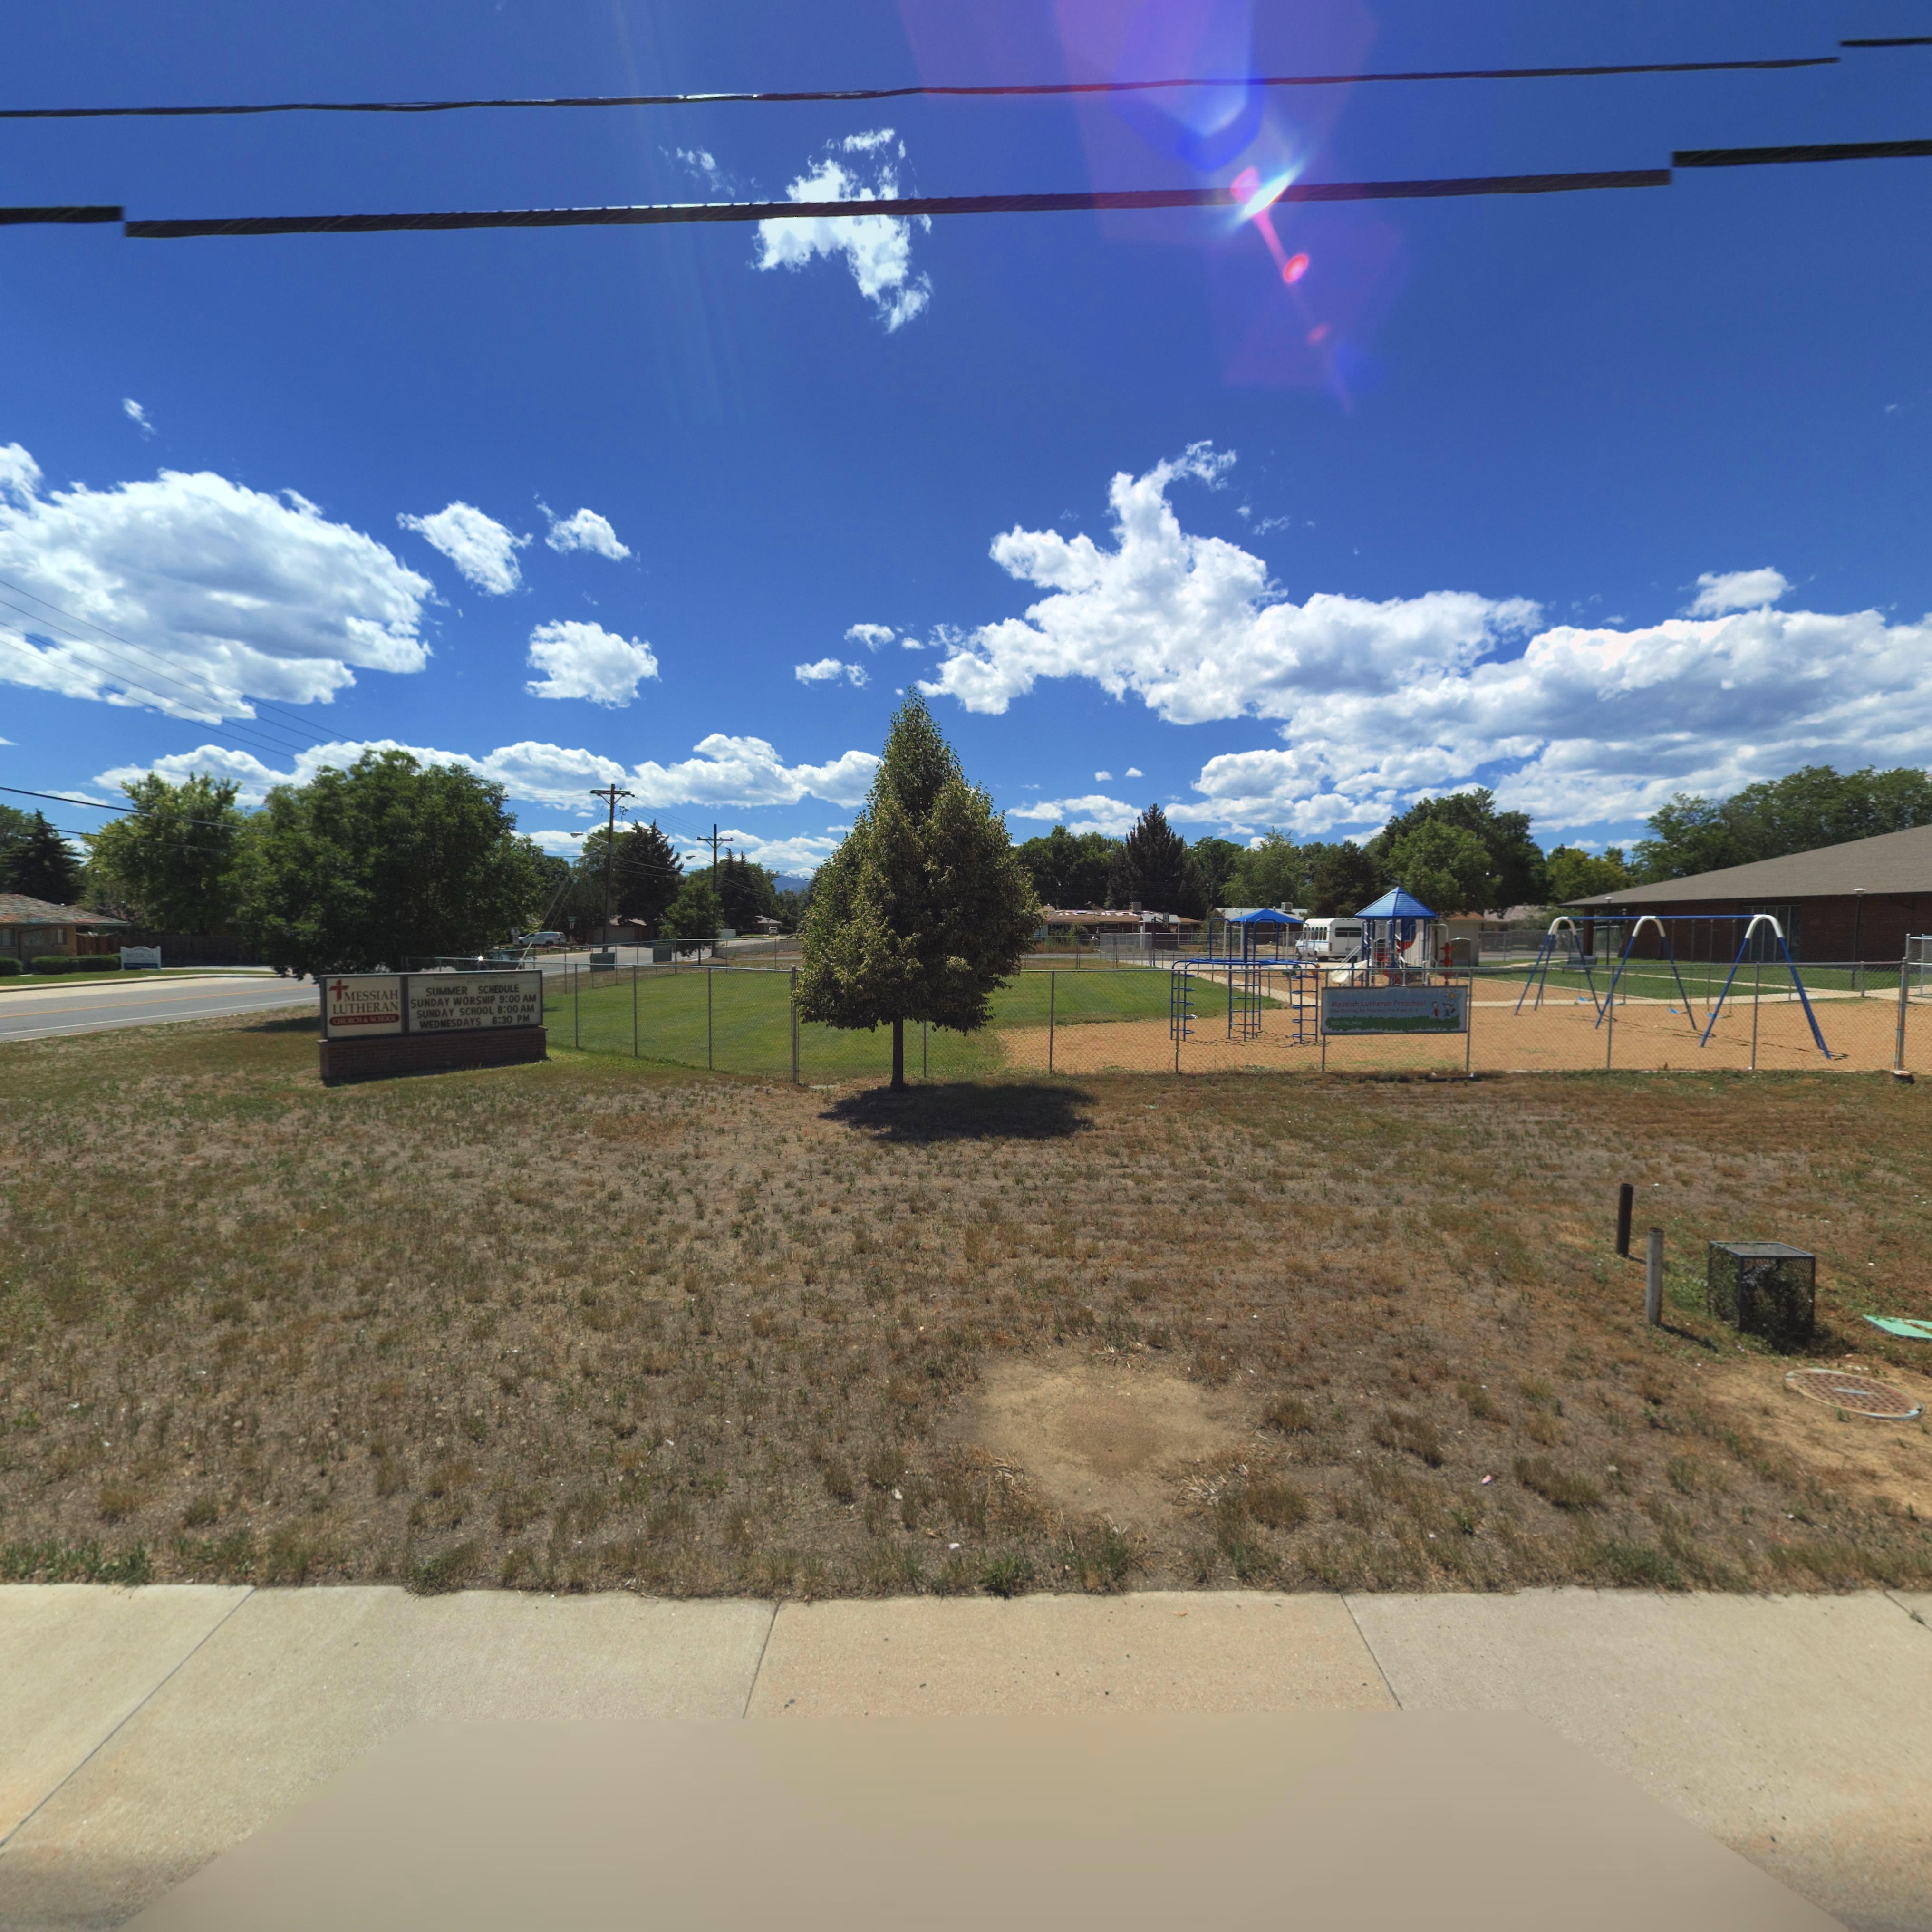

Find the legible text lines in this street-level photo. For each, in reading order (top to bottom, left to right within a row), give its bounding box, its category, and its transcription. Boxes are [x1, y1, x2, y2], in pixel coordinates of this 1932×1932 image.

[125, 951, 156, 958] BusinessName: MEDICAL
[343, 989, 398, 1002] BusinessName: MESSIAH
[332, 1000, 399, 1014] BusinessName: LUTHERAN
[332, 1014, 396, 1024] BusinessName: CHURCH * SCHOOL